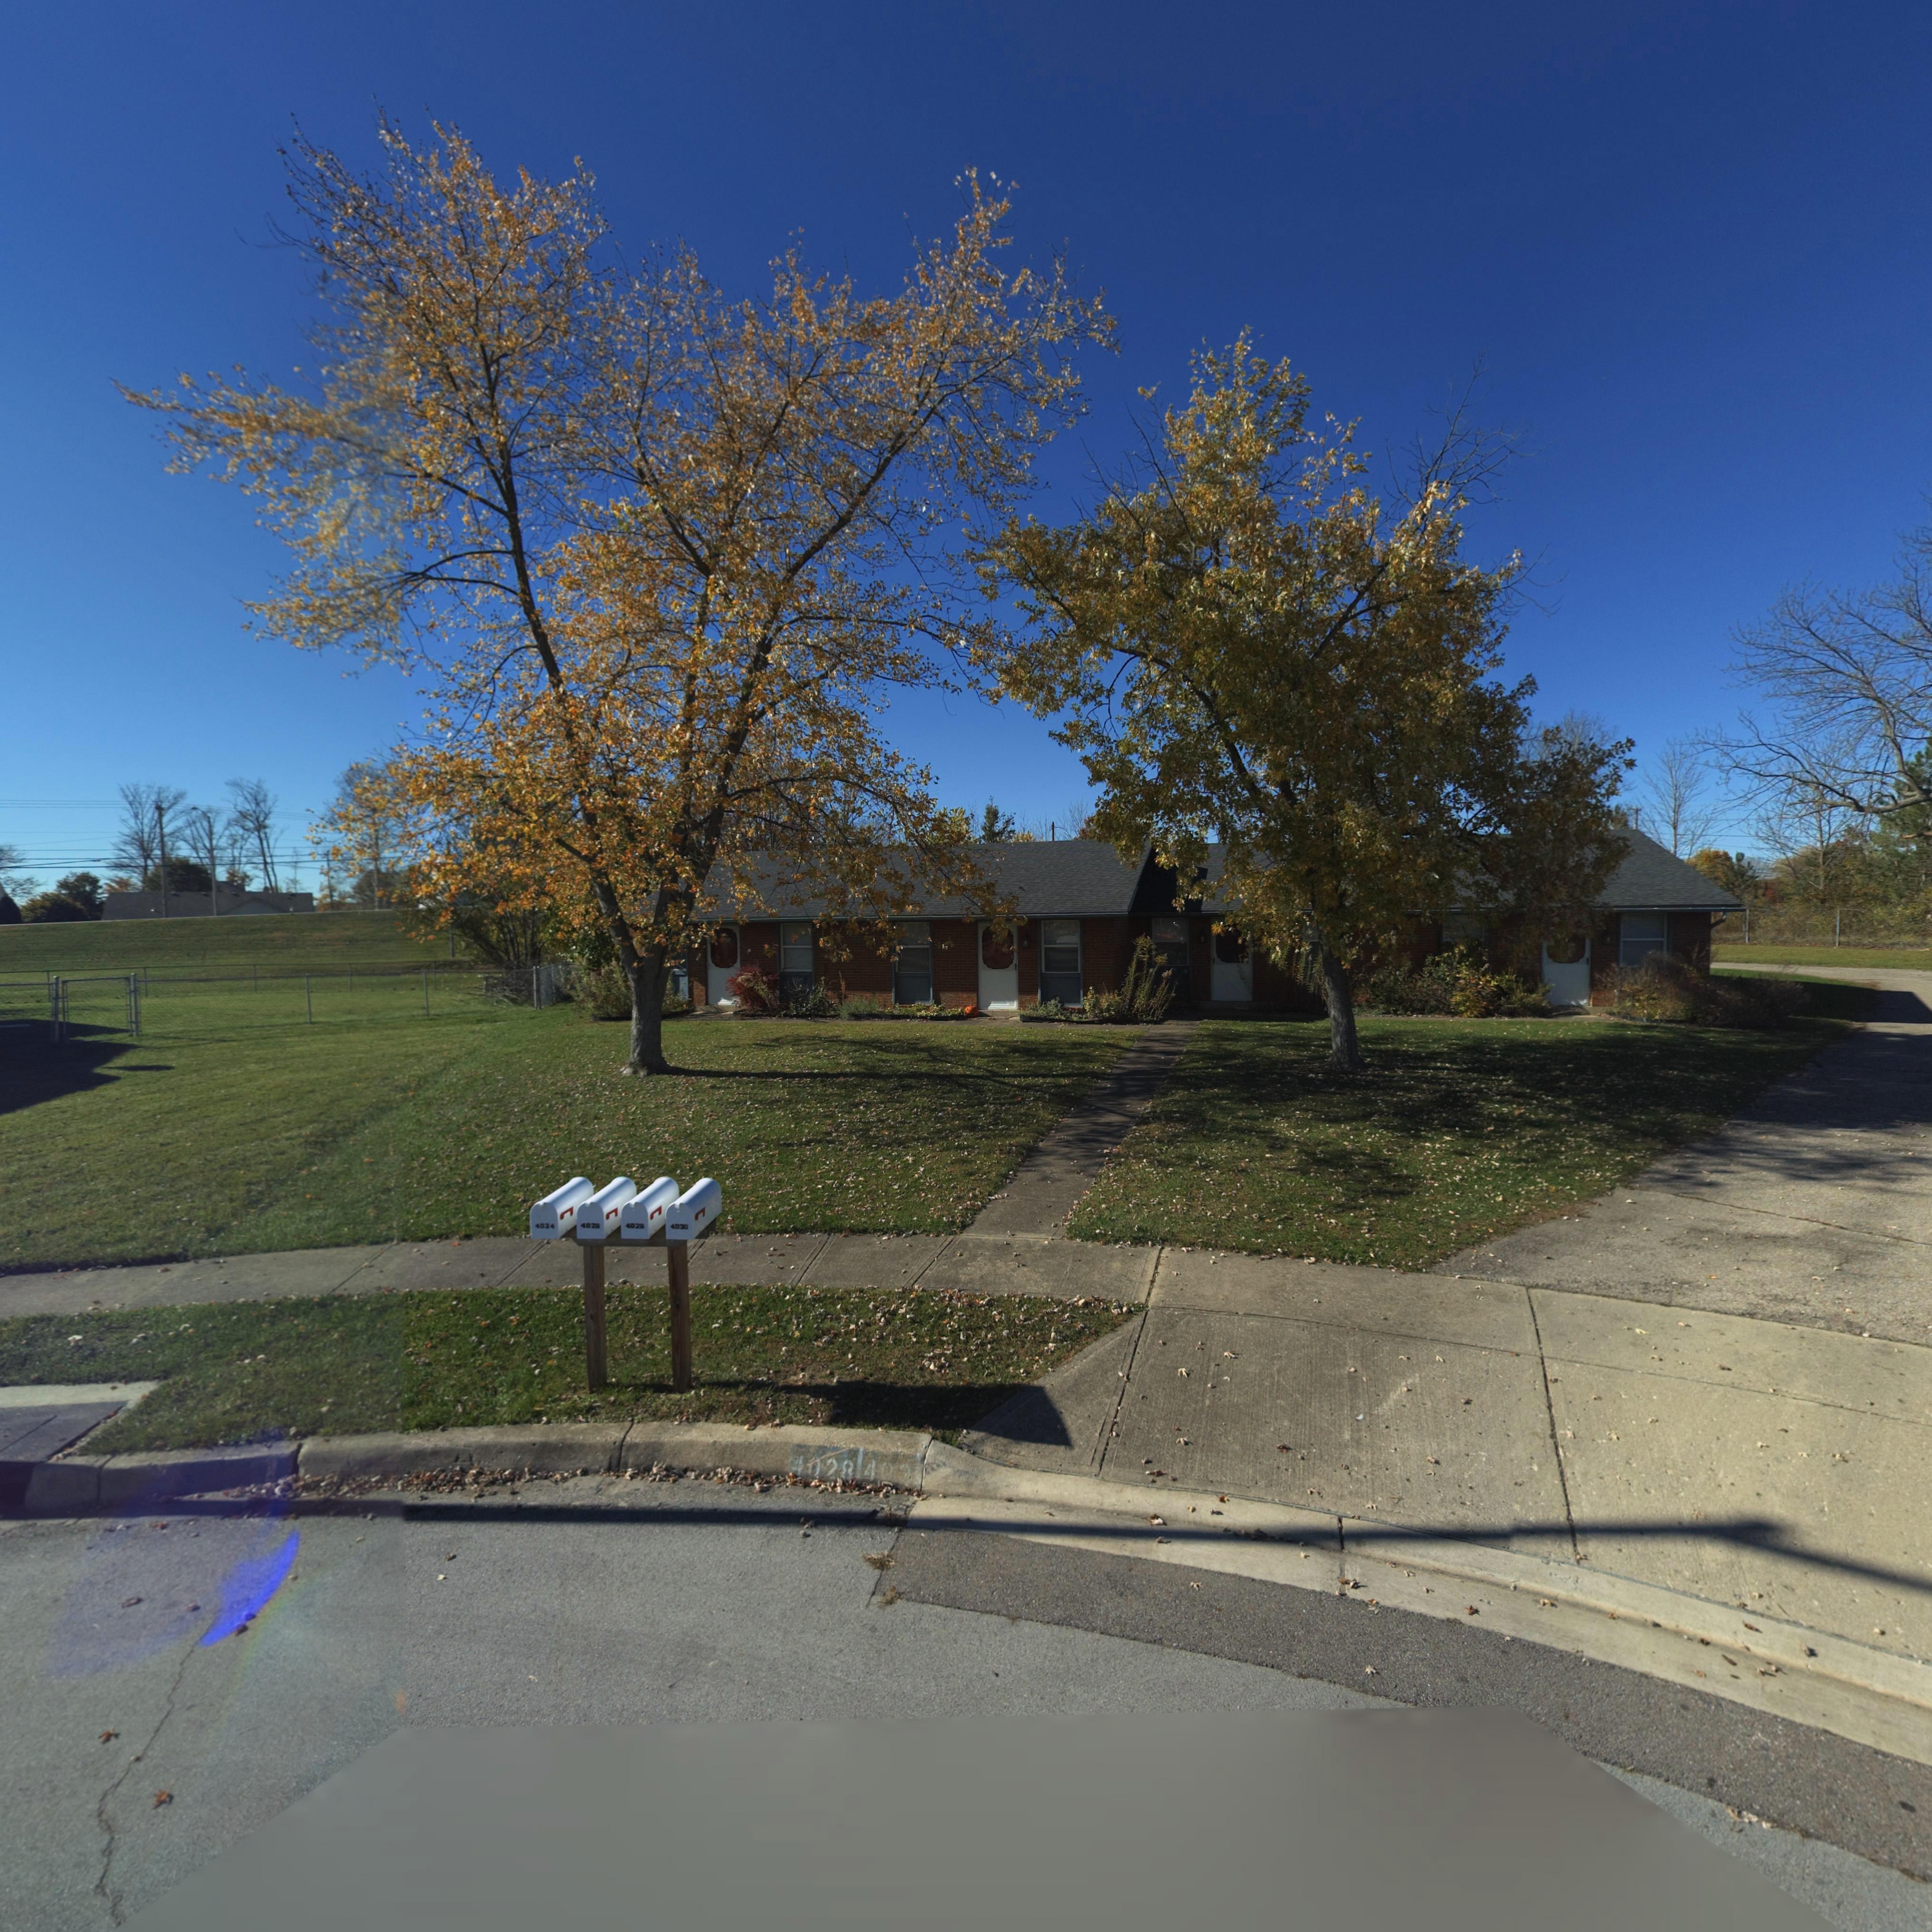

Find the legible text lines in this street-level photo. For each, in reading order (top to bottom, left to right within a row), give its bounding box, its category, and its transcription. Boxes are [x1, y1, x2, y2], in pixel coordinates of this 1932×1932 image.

[534, 1223, 555, 1229] StreetNumber: 4024
[580, 1222, 600, 1229] StreetNumber: 4026
[625, 1222, 645, 1229] StreetNumber: 4028
[669, 1223, 688, 1229] StreetNumber: 4030
[790, 1454, 856, 1482] StreetNumber: 4028
[861, 1458, 895, 1484] StreetNumber: 40